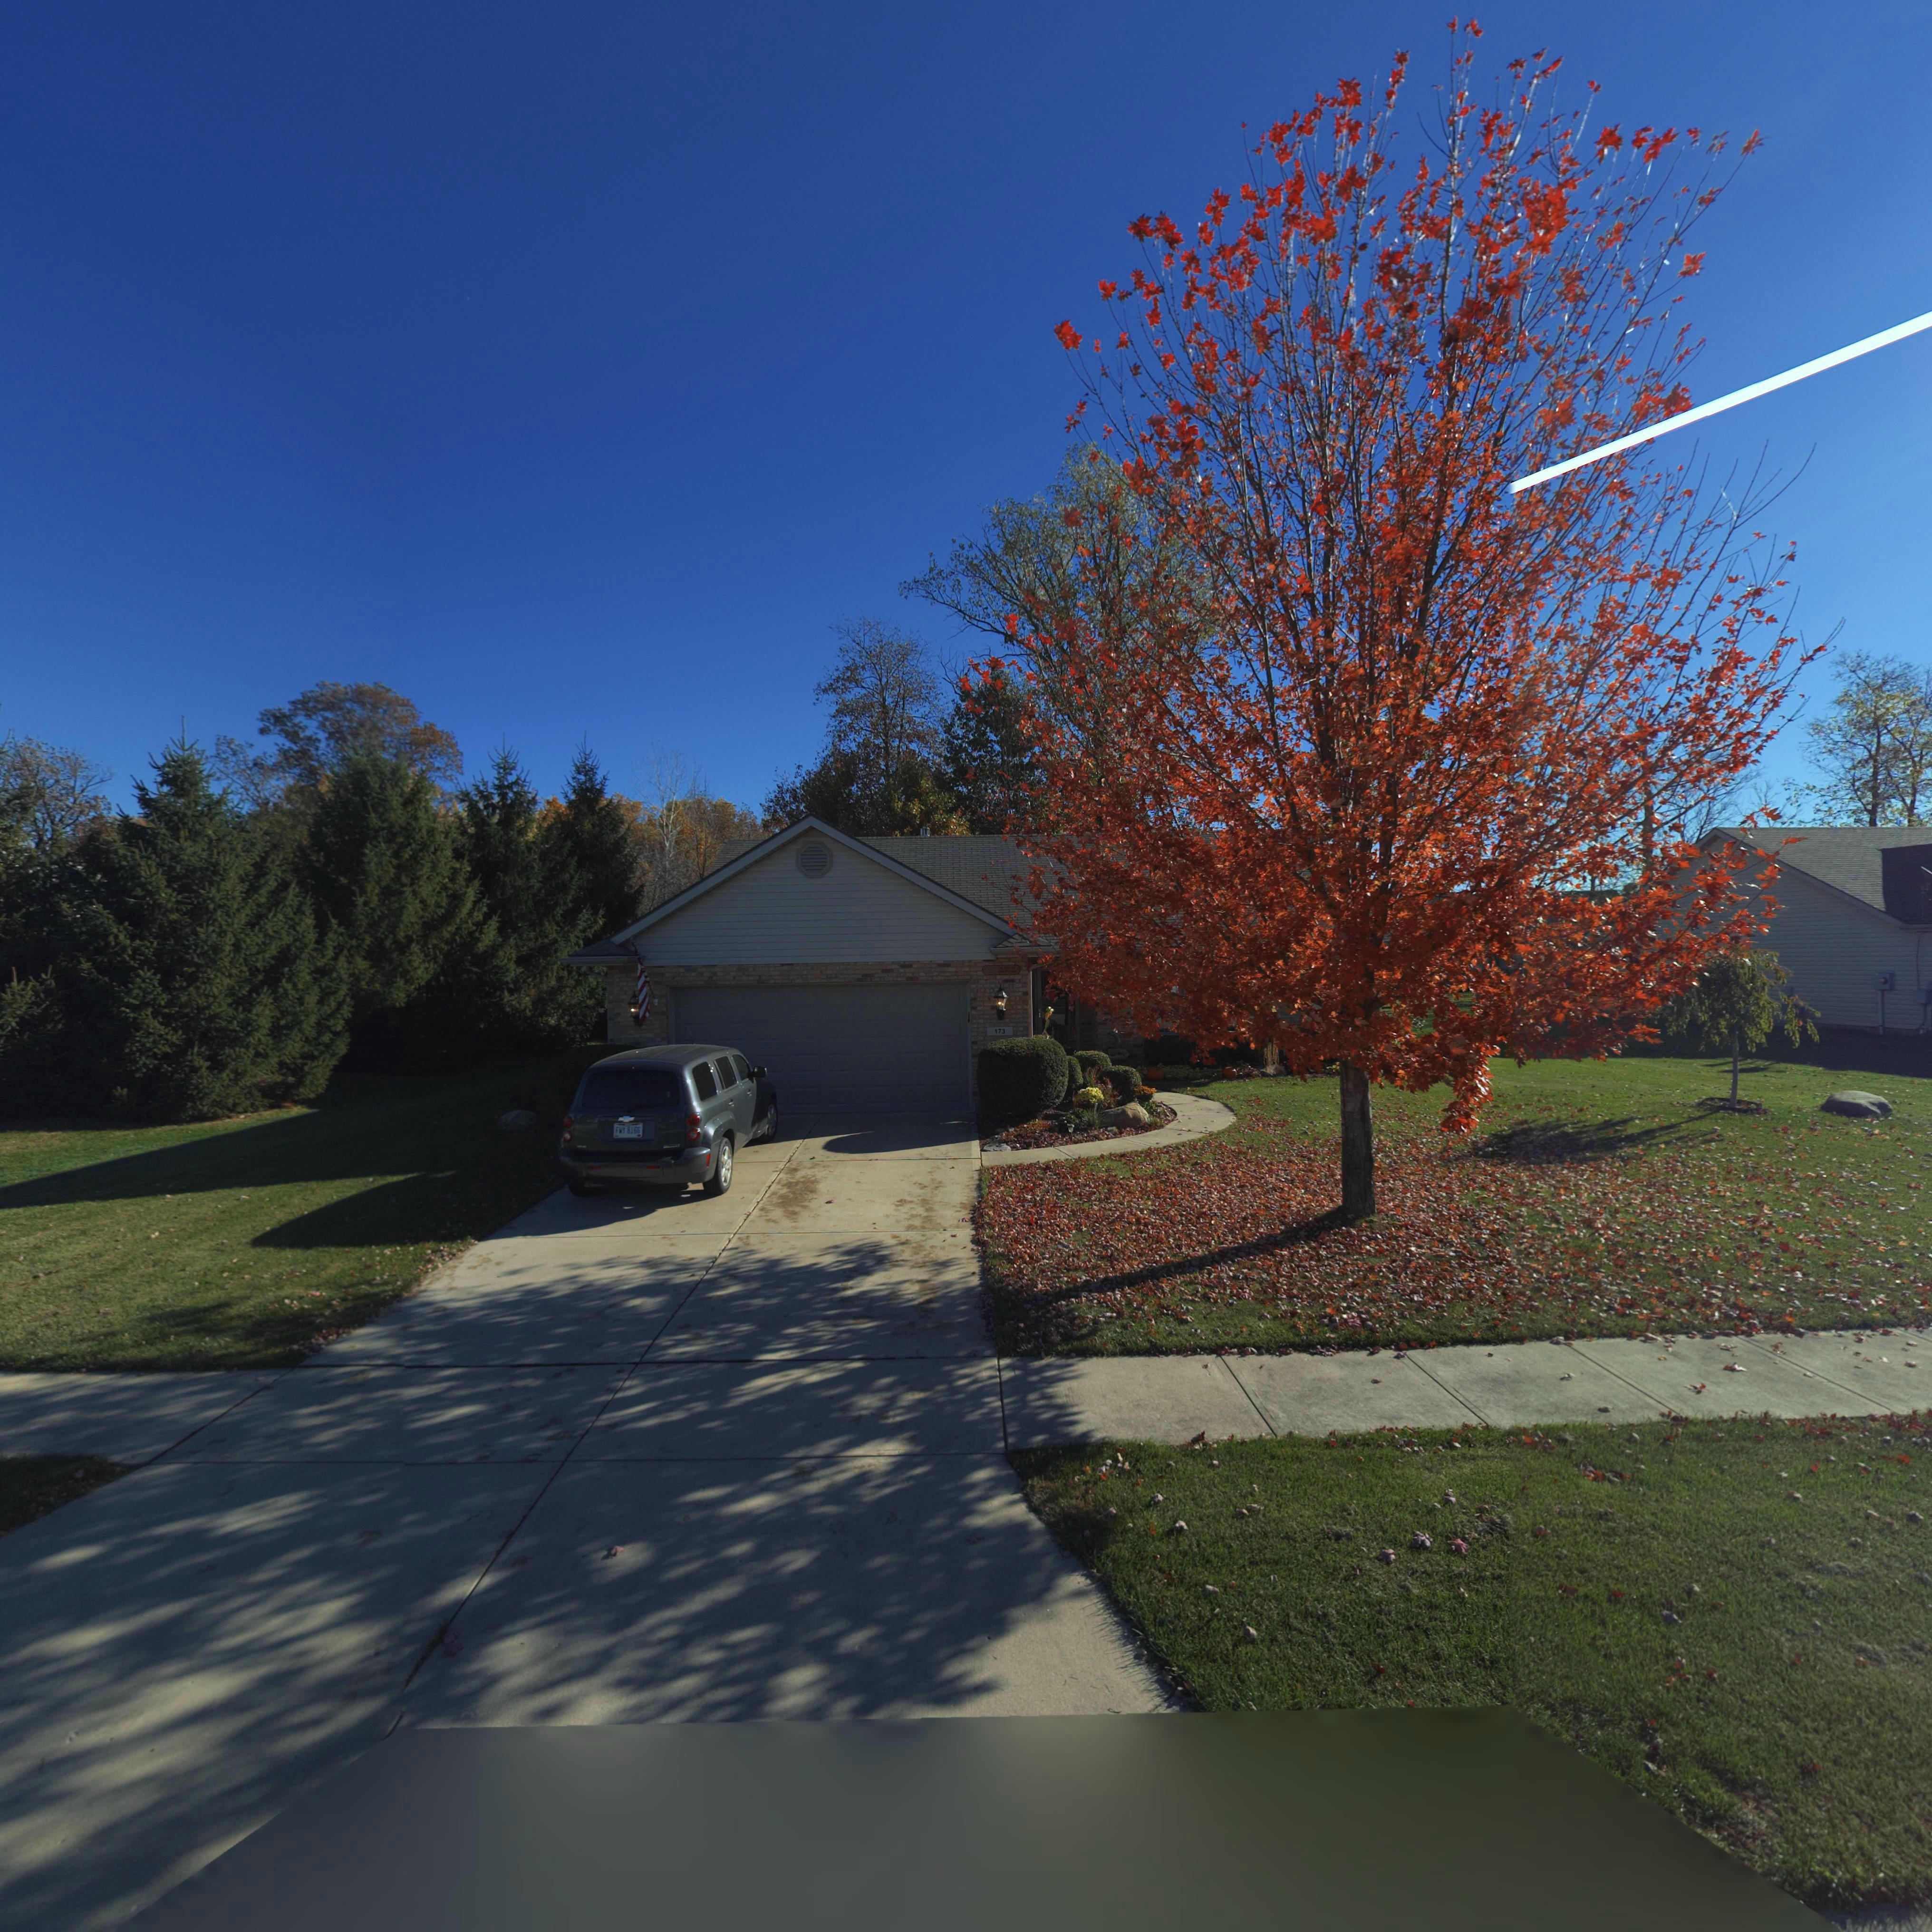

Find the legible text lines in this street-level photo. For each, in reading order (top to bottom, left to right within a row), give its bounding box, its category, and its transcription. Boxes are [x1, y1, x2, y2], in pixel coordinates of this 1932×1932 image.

[994, 1028, 1006, 1034] StreetNumber: 173